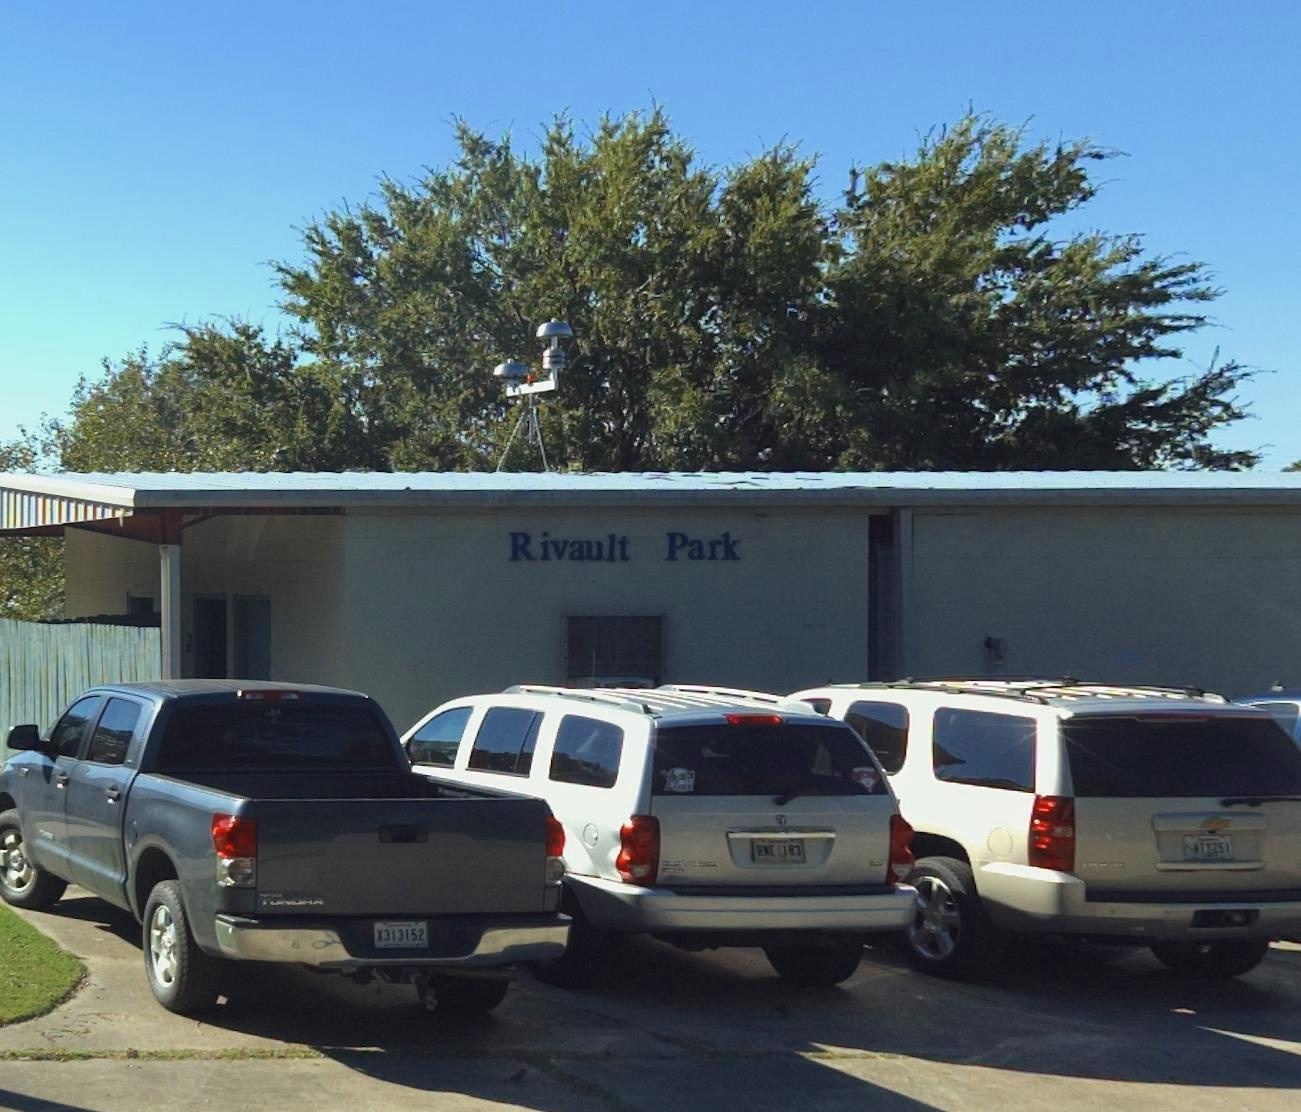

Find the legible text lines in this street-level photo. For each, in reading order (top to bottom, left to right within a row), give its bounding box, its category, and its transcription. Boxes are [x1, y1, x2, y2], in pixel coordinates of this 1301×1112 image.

[507, 530, 741, 563] BusinessName: Rivault Park
[782, 844, 802, 857] None: J83
[259, 897, 326, 906] None: TUNDRA
[376, 927, 426, 943] None: X313152